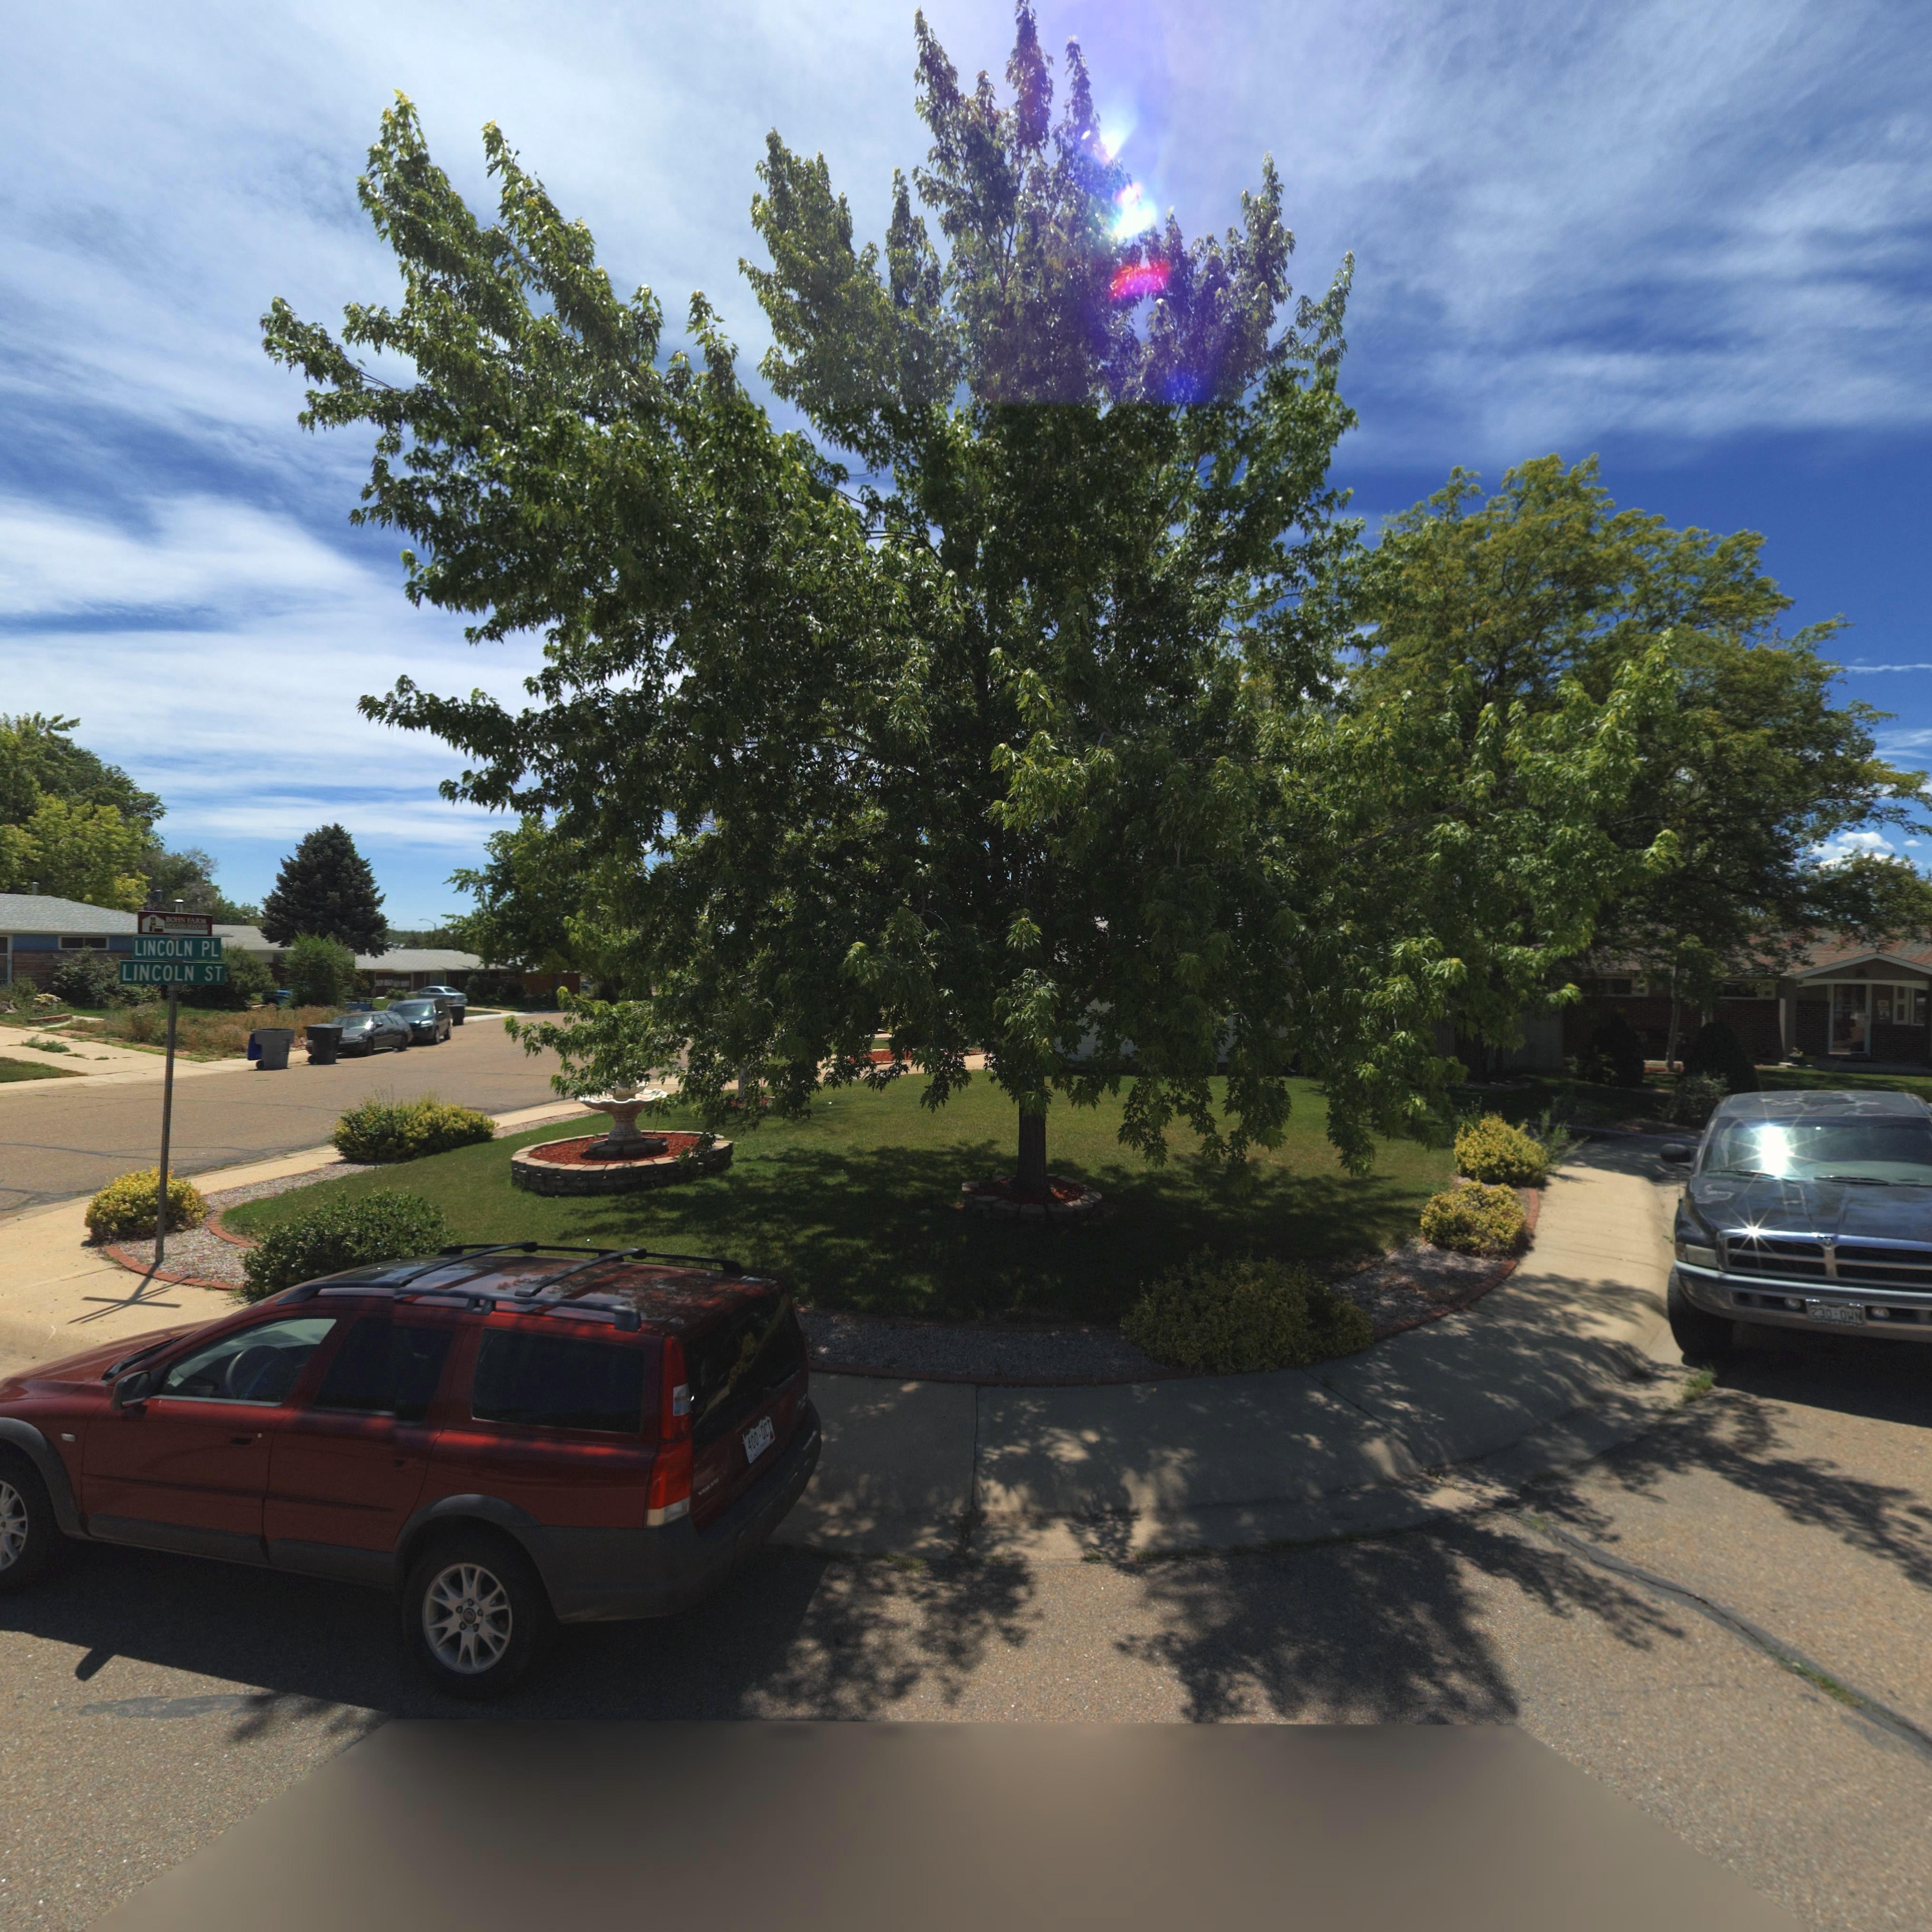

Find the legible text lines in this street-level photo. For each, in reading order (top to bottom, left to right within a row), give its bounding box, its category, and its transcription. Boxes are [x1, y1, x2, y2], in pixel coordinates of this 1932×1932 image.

[135, 940, 219, 956] StreetName: LINCOLN PL
[122, 964, 222, 982] StreetName: LINCOLN ST